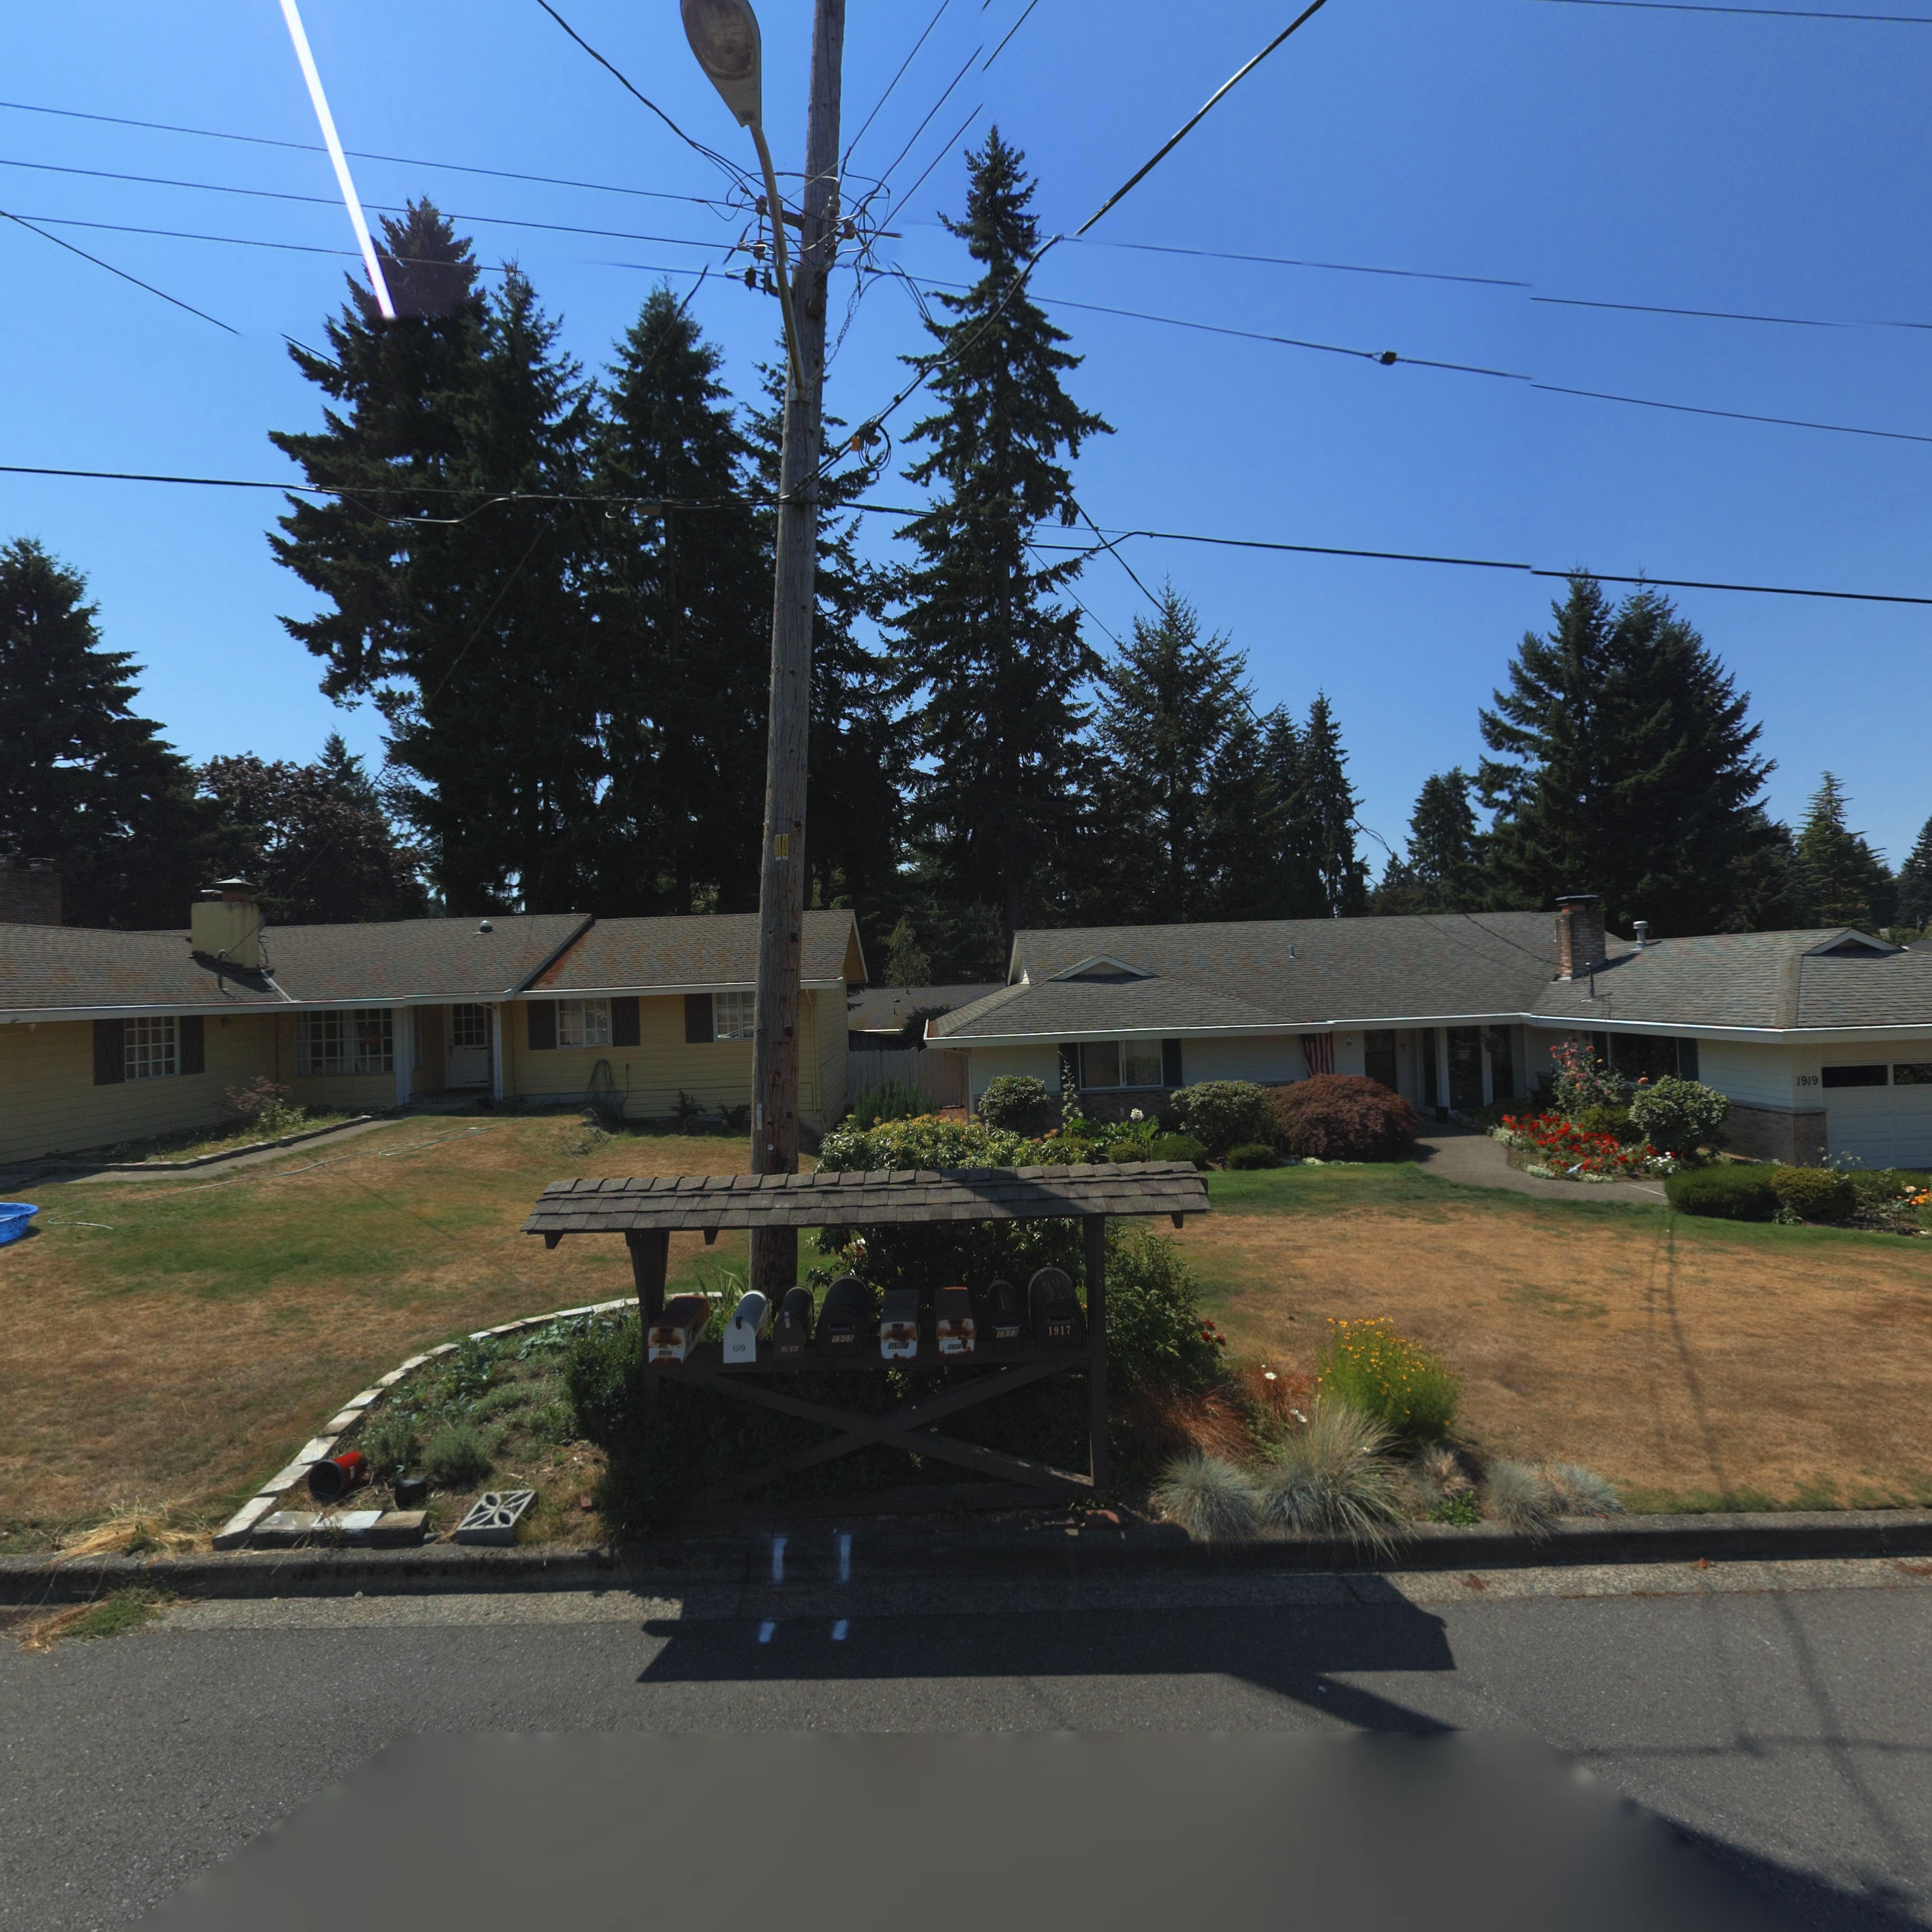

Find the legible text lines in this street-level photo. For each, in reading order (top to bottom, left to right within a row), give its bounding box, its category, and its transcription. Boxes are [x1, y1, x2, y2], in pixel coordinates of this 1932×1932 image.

[1796, 1074, 1818, 1085] StreetNumber: 1919
[998, 1330, 1018, 1337] StreetNumber: 1913
[1048, 1324, 1071, 1335] StreetNumber: 1917
[832, 1335, 853, 1342] StreetNumber: 1905
[732, 1344, 745, 1352] StreetNumber: 1919